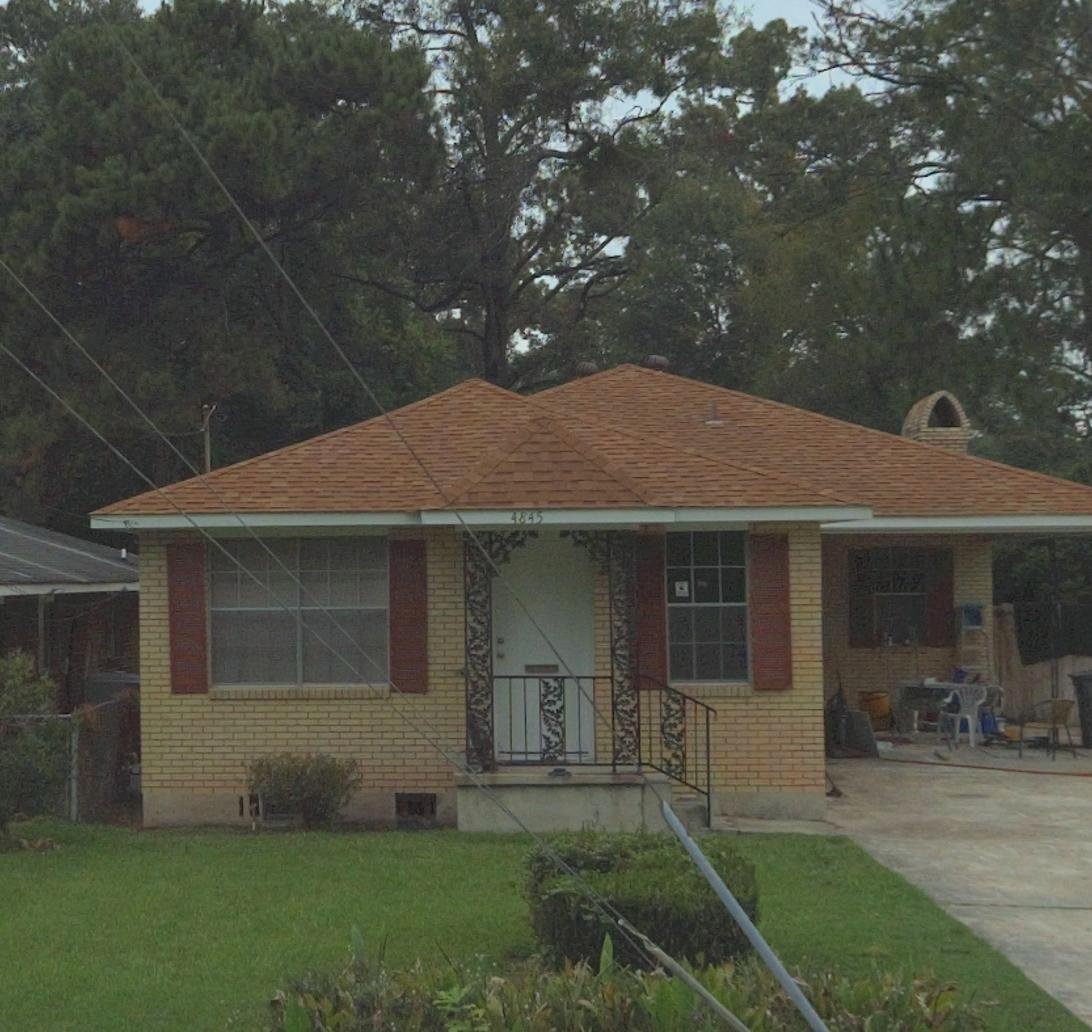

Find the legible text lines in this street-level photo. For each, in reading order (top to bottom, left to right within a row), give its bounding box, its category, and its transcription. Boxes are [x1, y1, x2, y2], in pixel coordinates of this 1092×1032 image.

[509, 511, 543, 525] StreetNumber: 4845